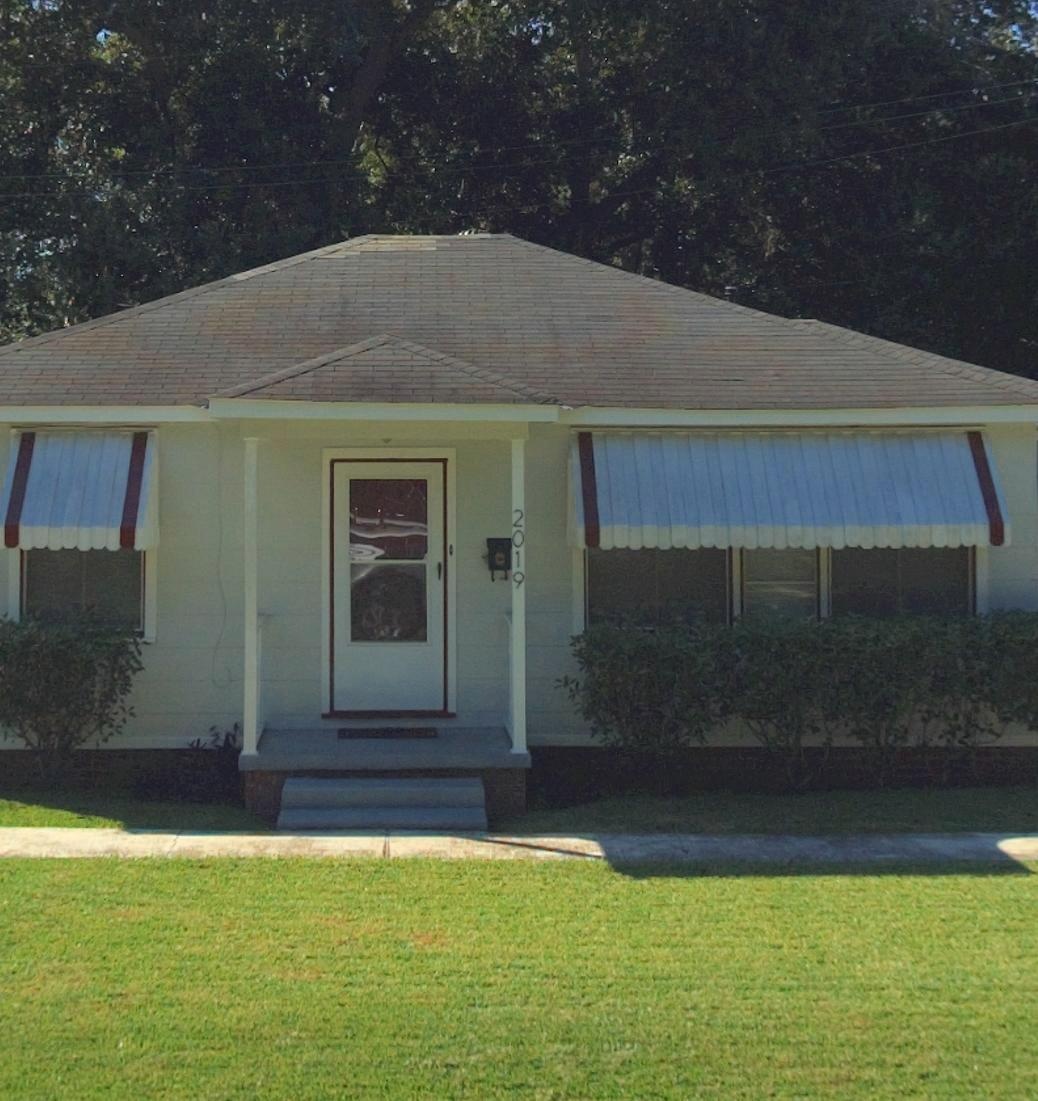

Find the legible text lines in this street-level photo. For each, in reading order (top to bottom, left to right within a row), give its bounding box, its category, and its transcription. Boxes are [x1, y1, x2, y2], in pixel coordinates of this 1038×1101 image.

[510, 507, 526, 591] StreetNumber: 2019